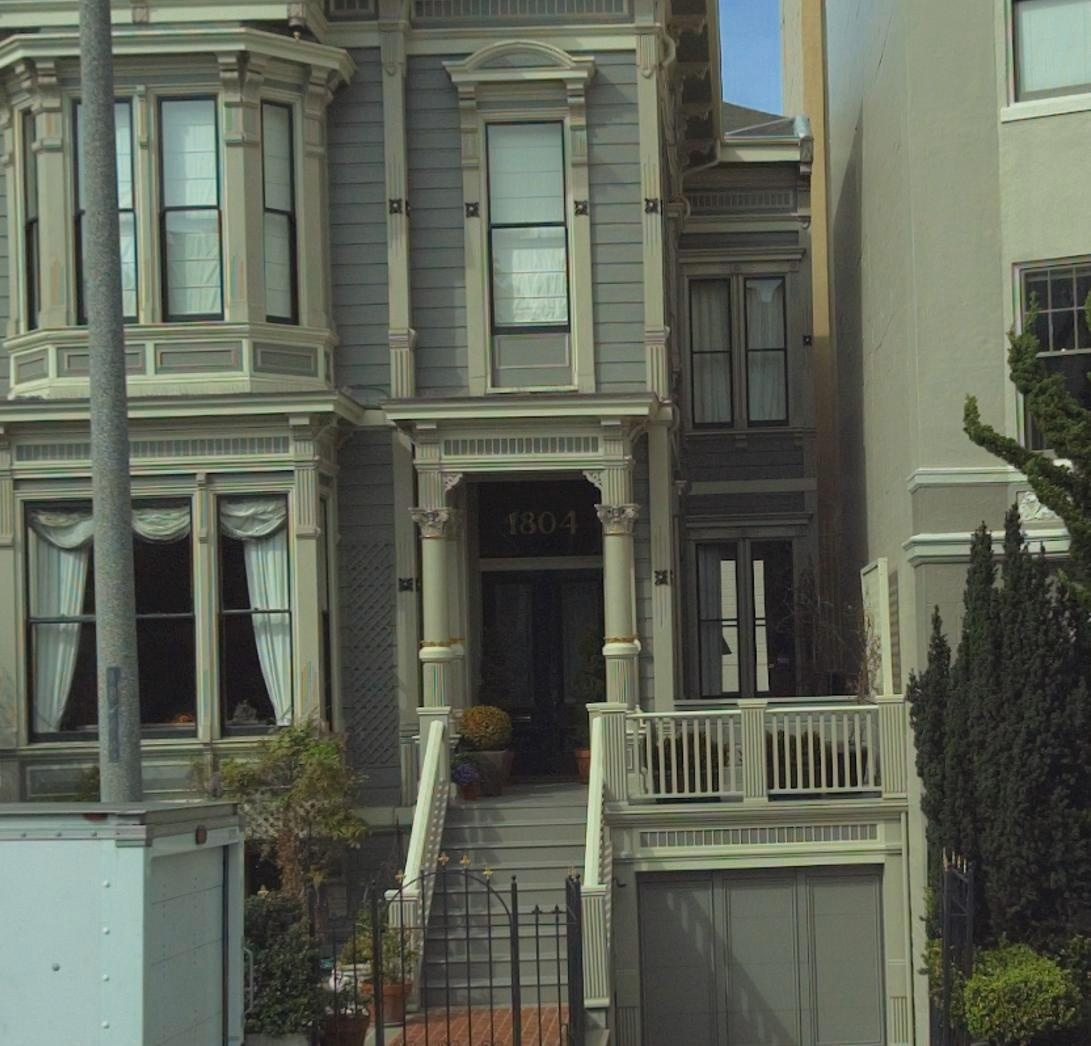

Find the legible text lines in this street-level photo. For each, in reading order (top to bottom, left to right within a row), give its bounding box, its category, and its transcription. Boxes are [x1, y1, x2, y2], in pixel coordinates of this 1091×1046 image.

[505, 507, 580, 538] StreetNumber: 1804